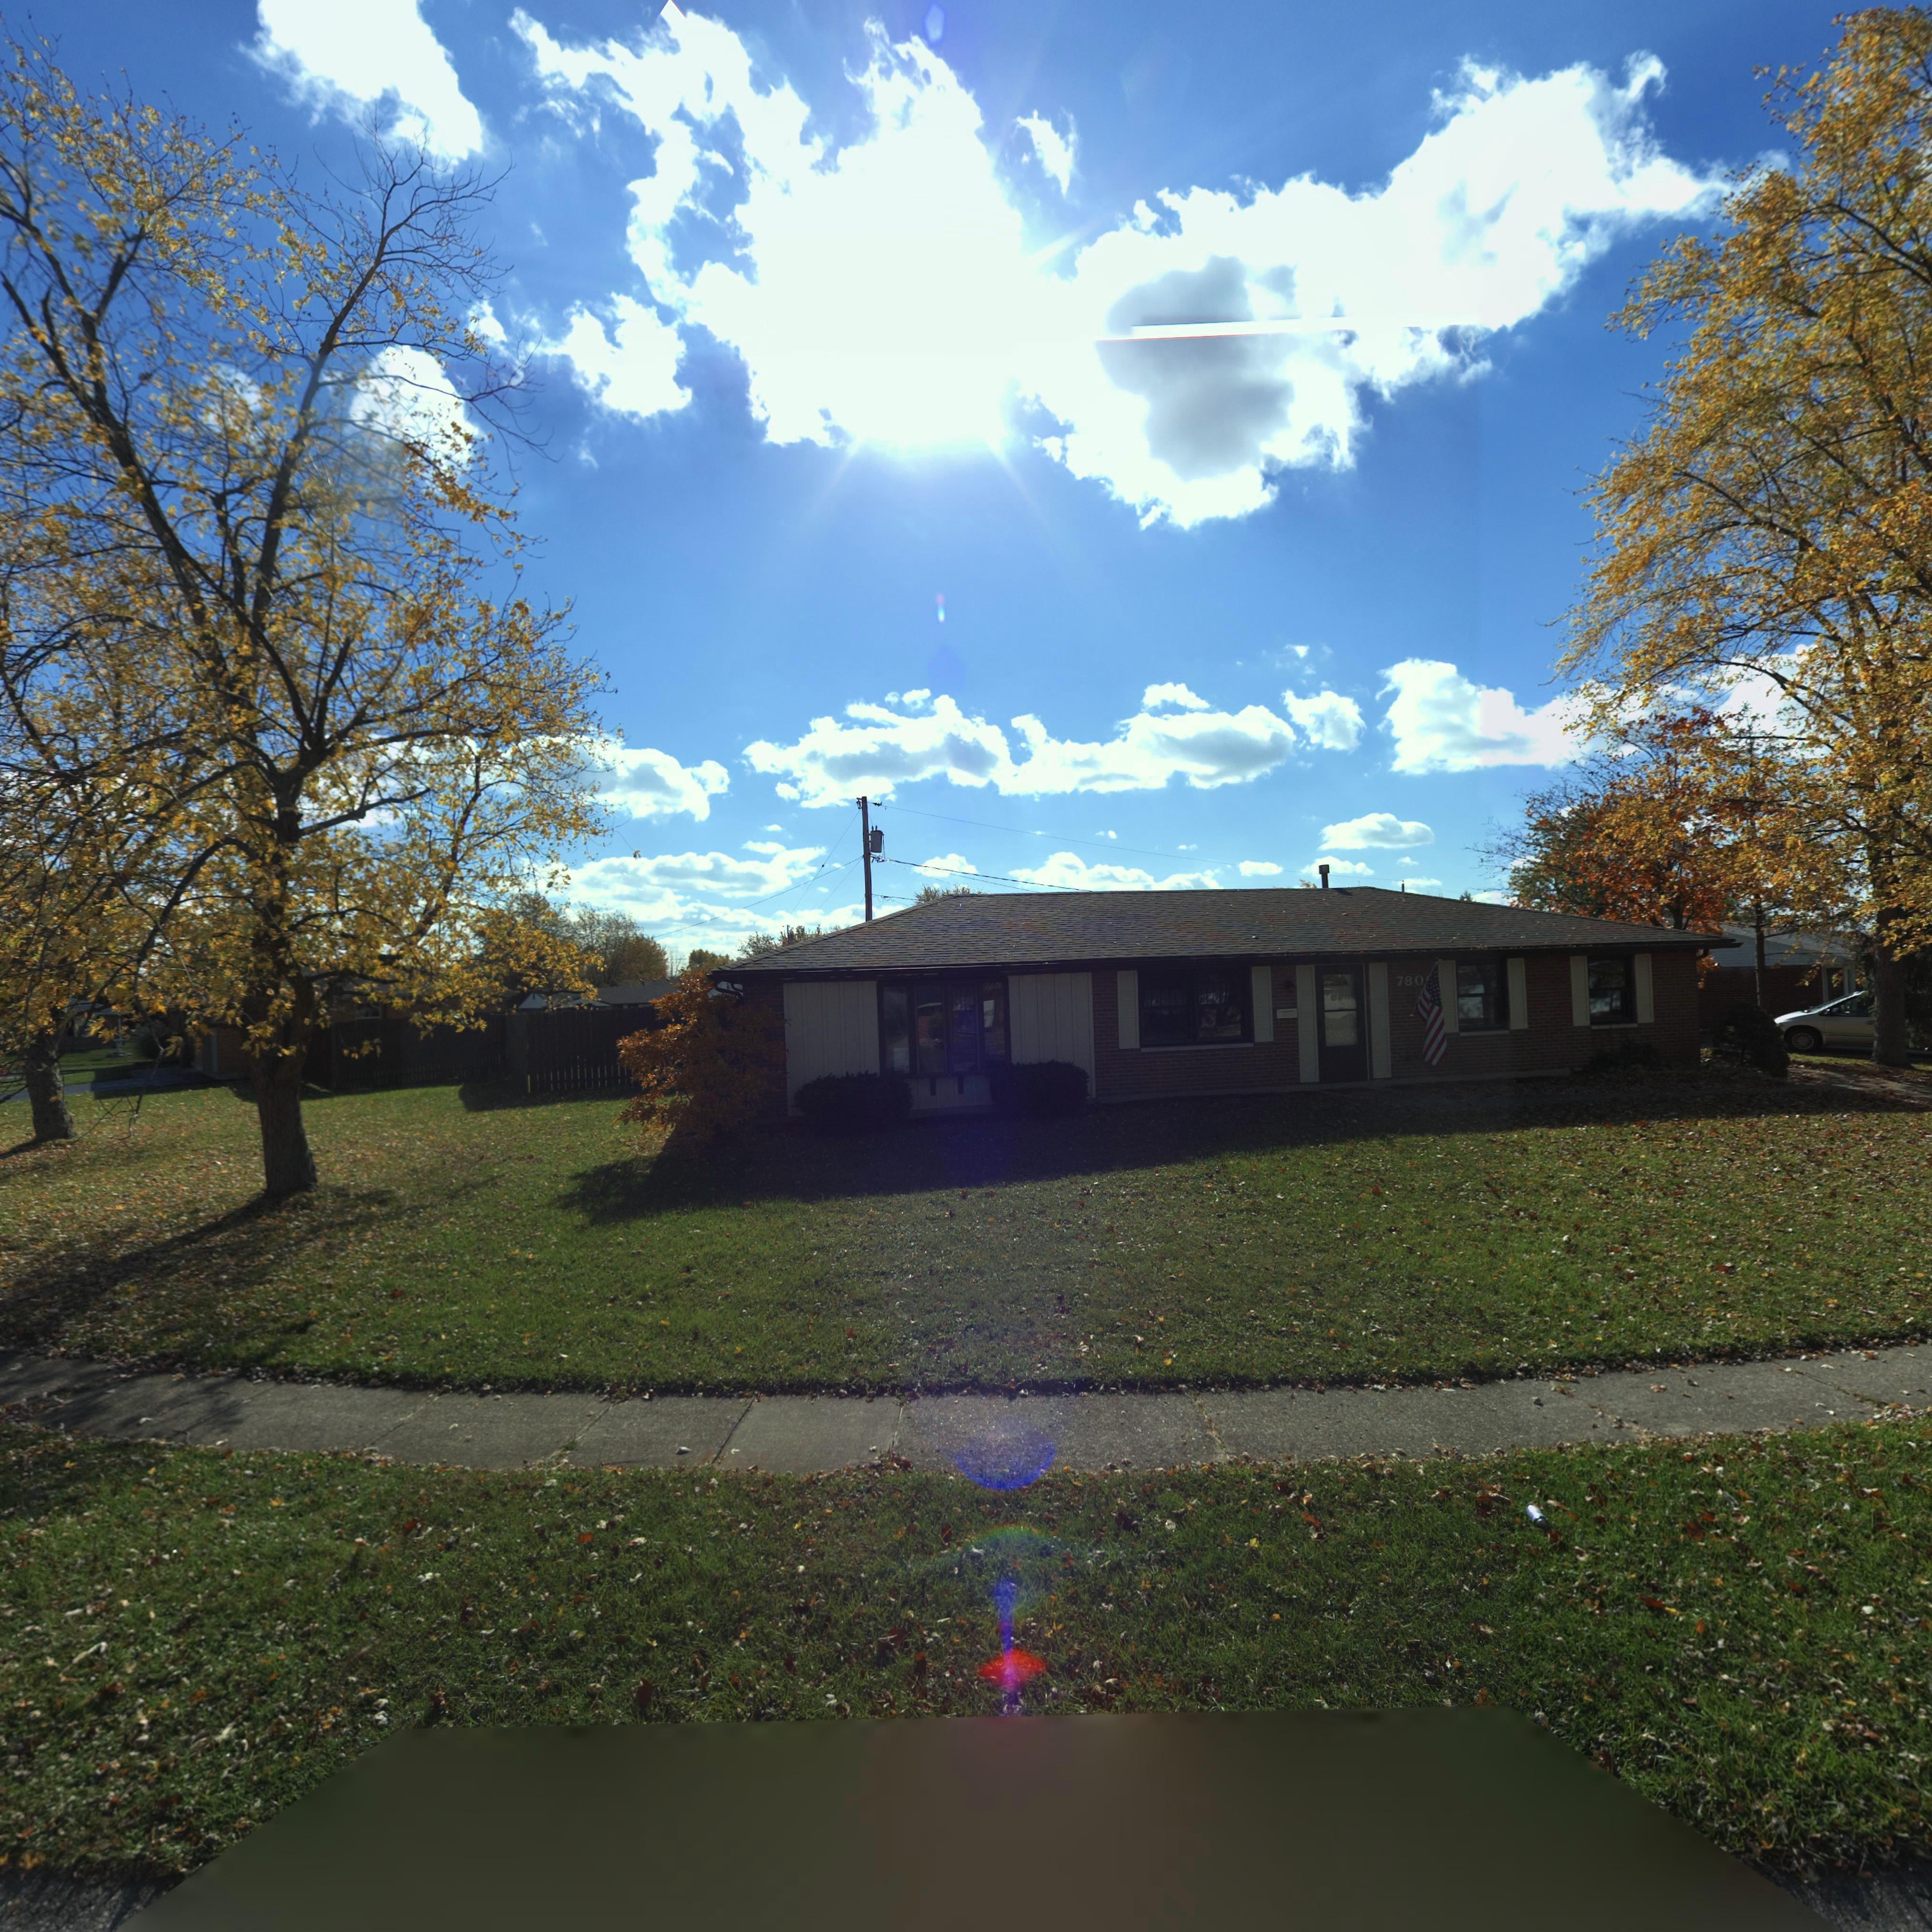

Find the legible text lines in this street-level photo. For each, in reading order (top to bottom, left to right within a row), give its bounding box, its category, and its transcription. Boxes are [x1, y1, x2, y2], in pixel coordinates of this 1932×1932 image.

[1395, 975, 1424, 987] StreetNumber: 780